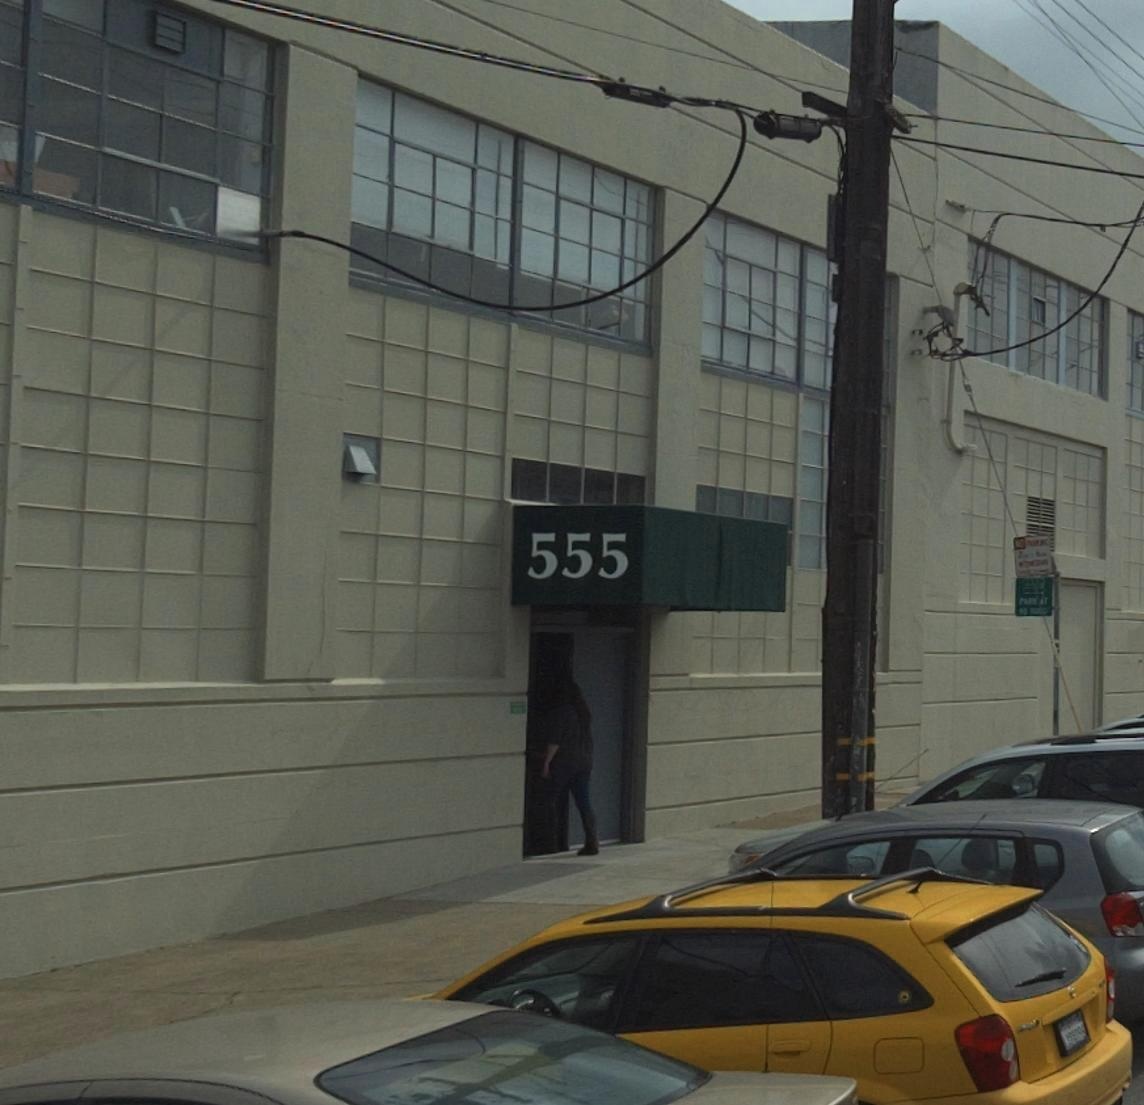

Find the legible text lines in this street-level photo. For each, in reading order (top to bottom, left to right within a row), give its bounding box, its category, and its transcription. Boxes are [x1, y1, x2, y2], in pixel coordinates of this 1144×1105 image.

[1015, 539, 1048, 548] None: NO PARKING
[526, 532, 629, 580] StreetNumber: 555
[1019, 597, 1049, 606] None: PARK AT